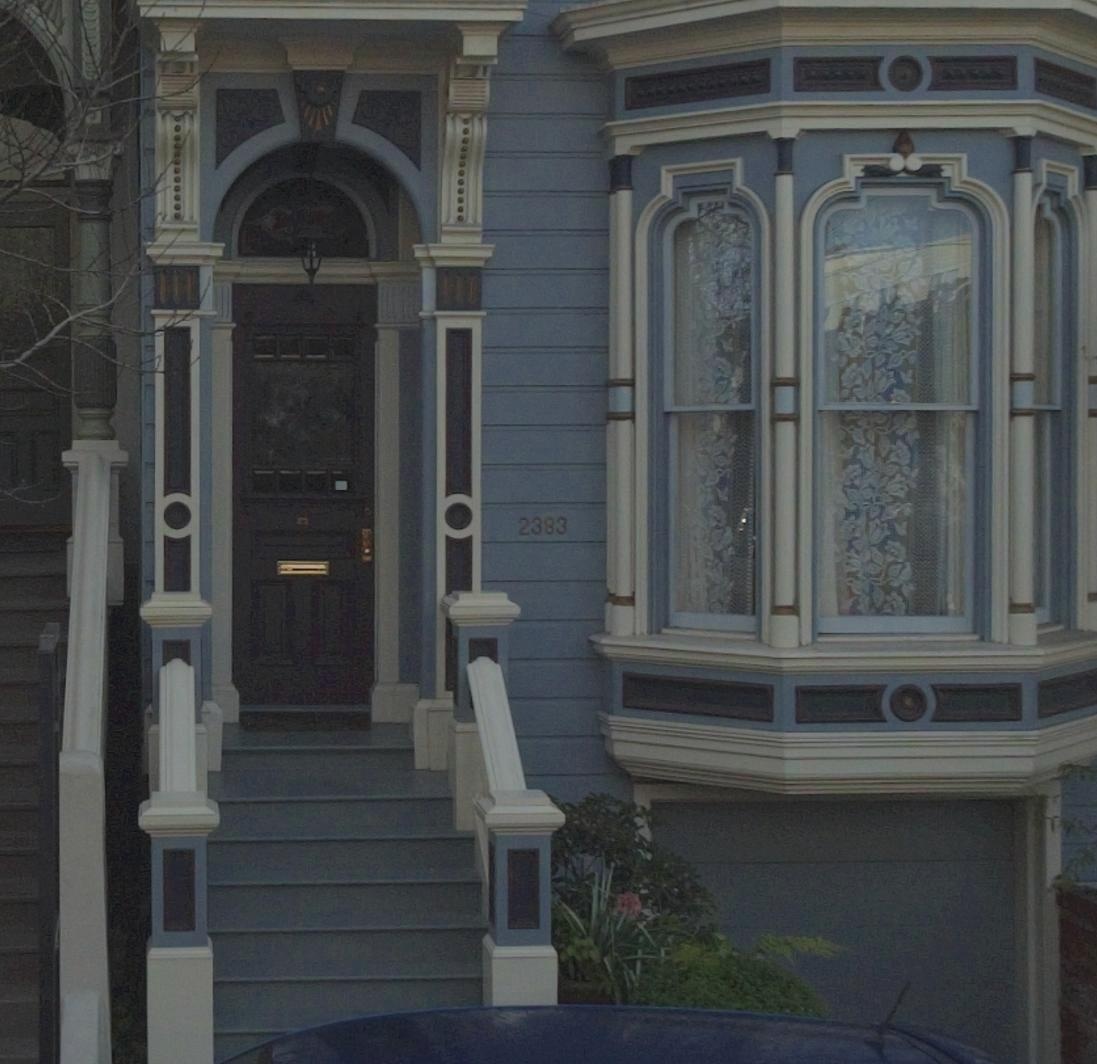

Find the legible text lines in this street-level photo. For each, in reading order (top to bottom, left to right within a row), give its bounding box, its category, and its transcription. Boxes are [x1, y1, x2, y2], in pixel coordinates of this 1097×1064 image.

[516, 514, 569, 538] StreetNumber: 2383